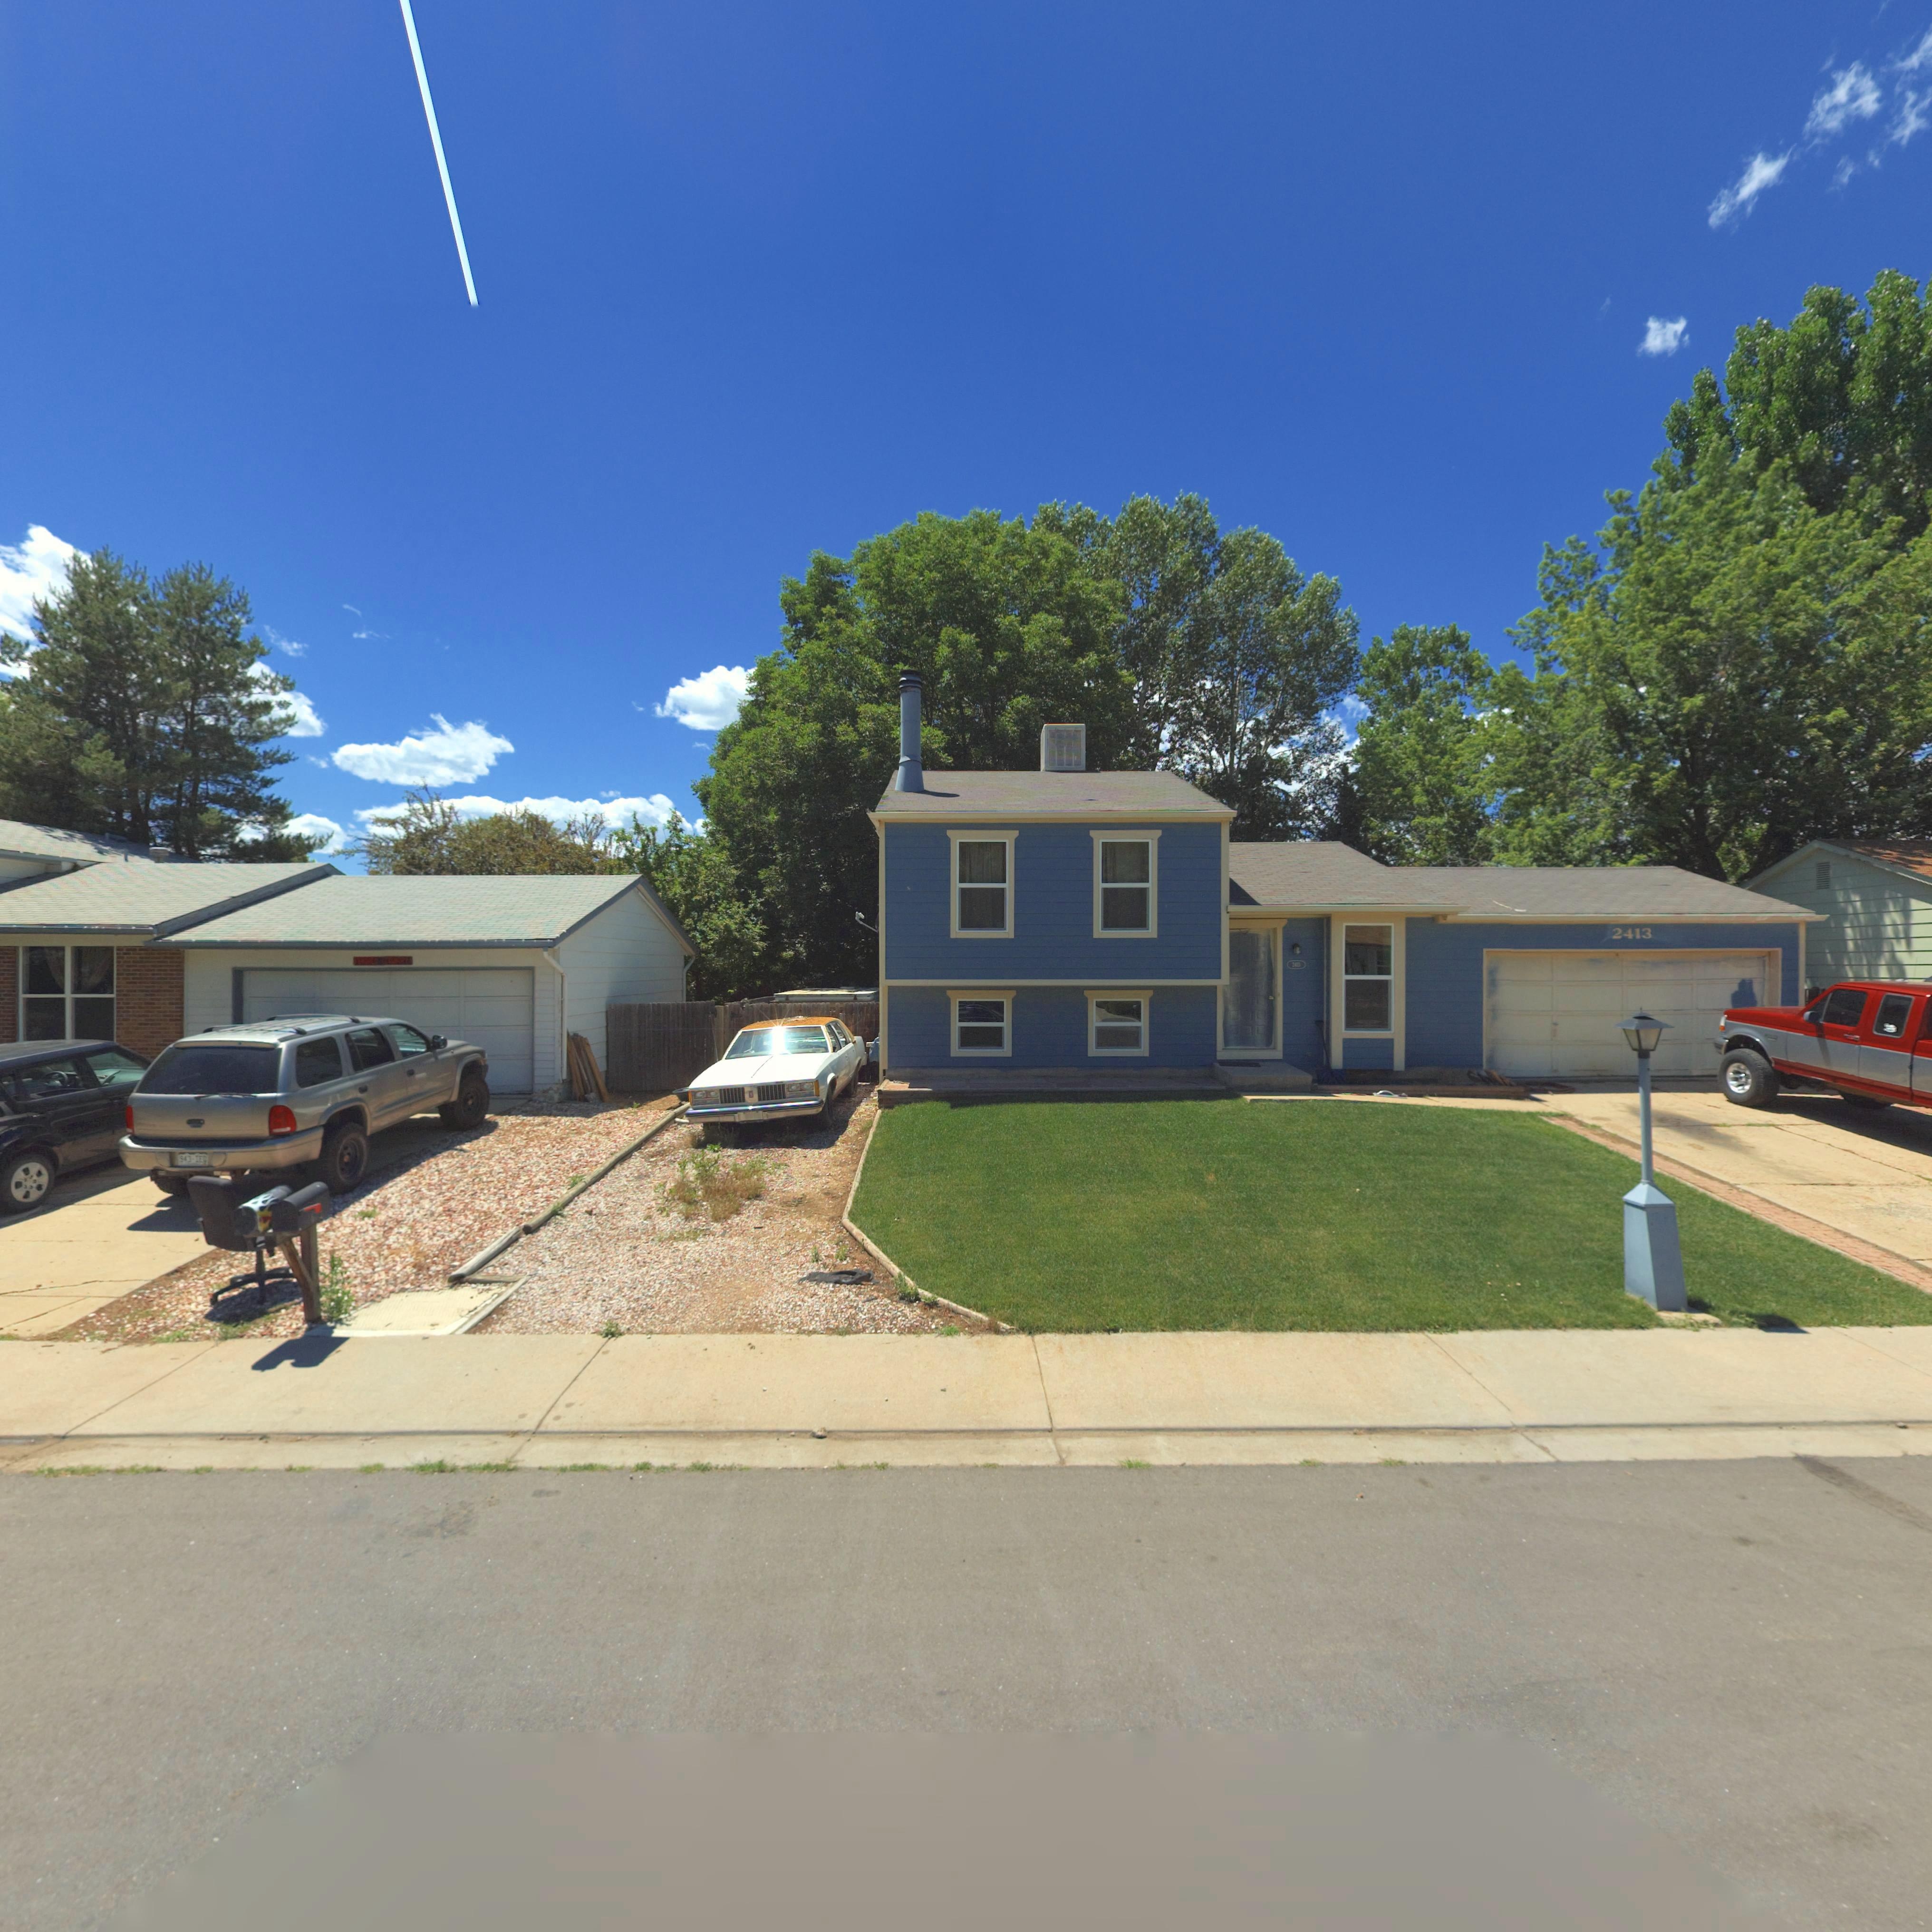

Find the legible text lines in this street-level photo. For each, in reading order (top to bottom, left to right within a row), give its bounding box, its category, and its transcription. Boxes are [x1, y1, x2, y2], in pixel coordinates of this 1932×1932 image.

[1612, 927, 1653, 939] StreetNumber: 2413
[1291, 962, 1301, 967] StreetNumber: 24**